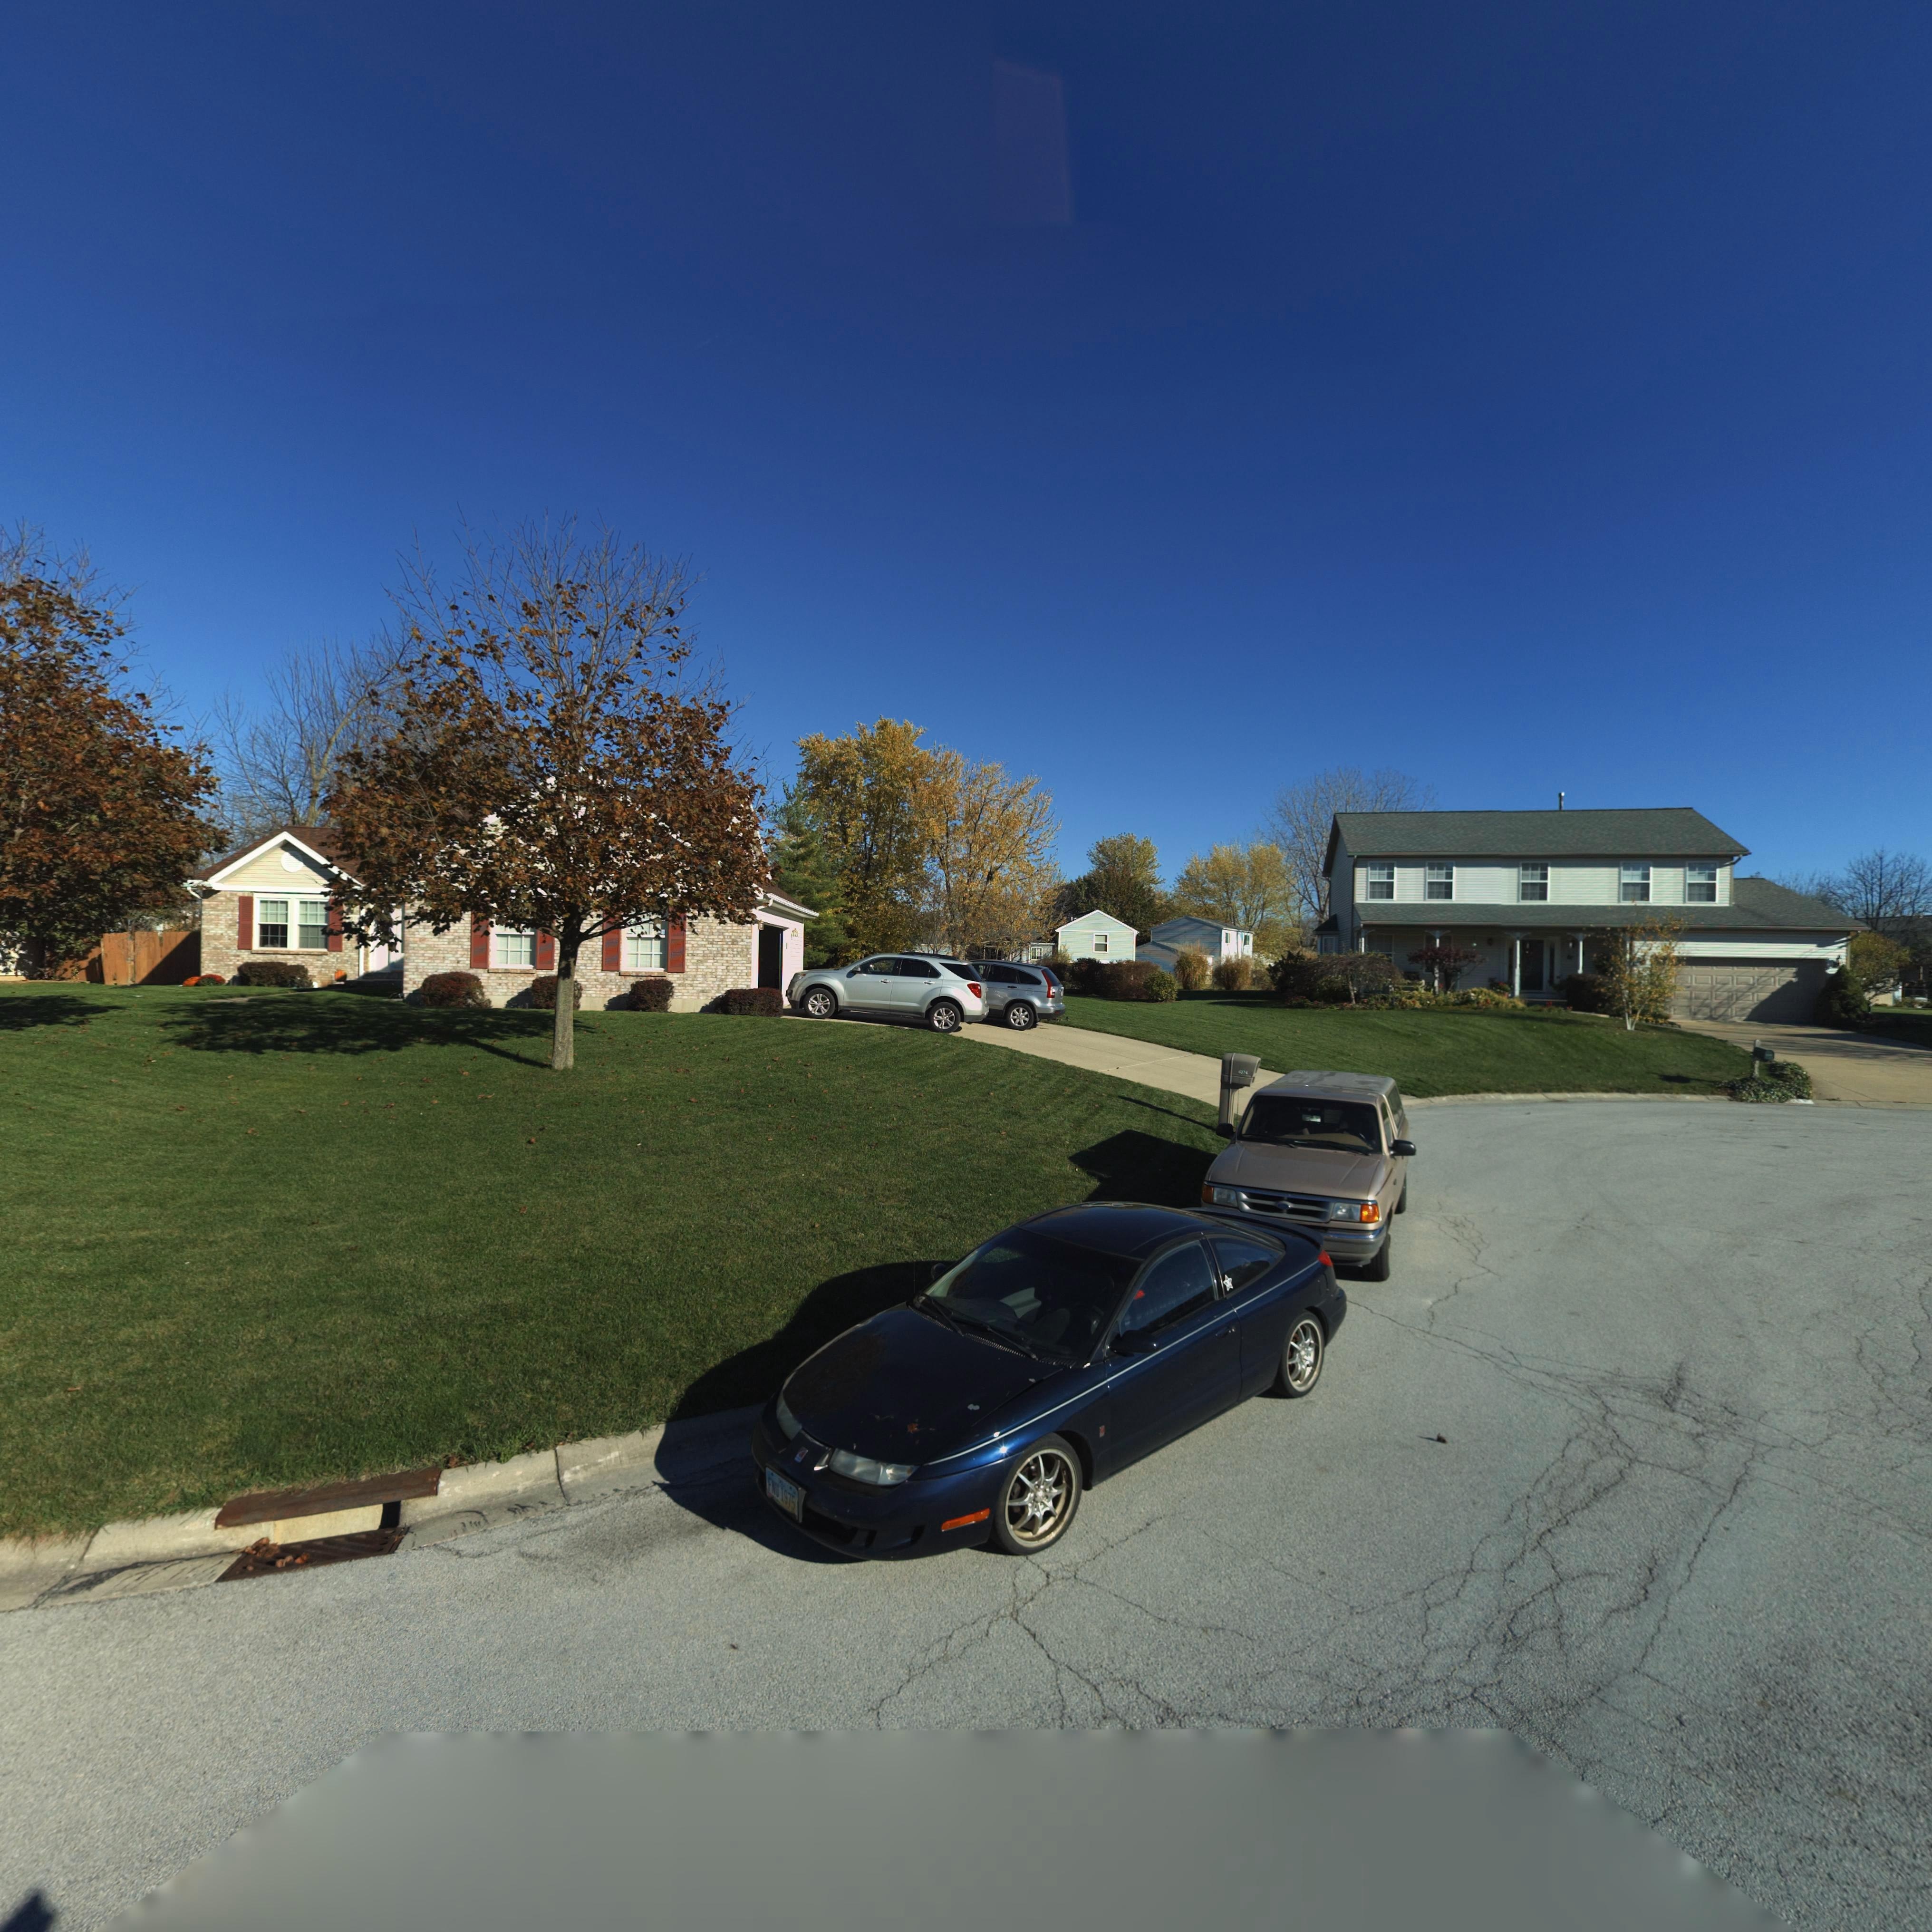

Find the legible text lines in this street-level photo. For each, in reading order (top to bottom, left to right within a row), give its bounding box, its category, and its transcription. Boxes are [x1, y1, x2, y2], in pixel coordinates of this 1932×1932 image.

[353, 915, 357, 921] StreetNumber: 7
[1238, 1070, 1248, 1075] StreetNumber: 6374